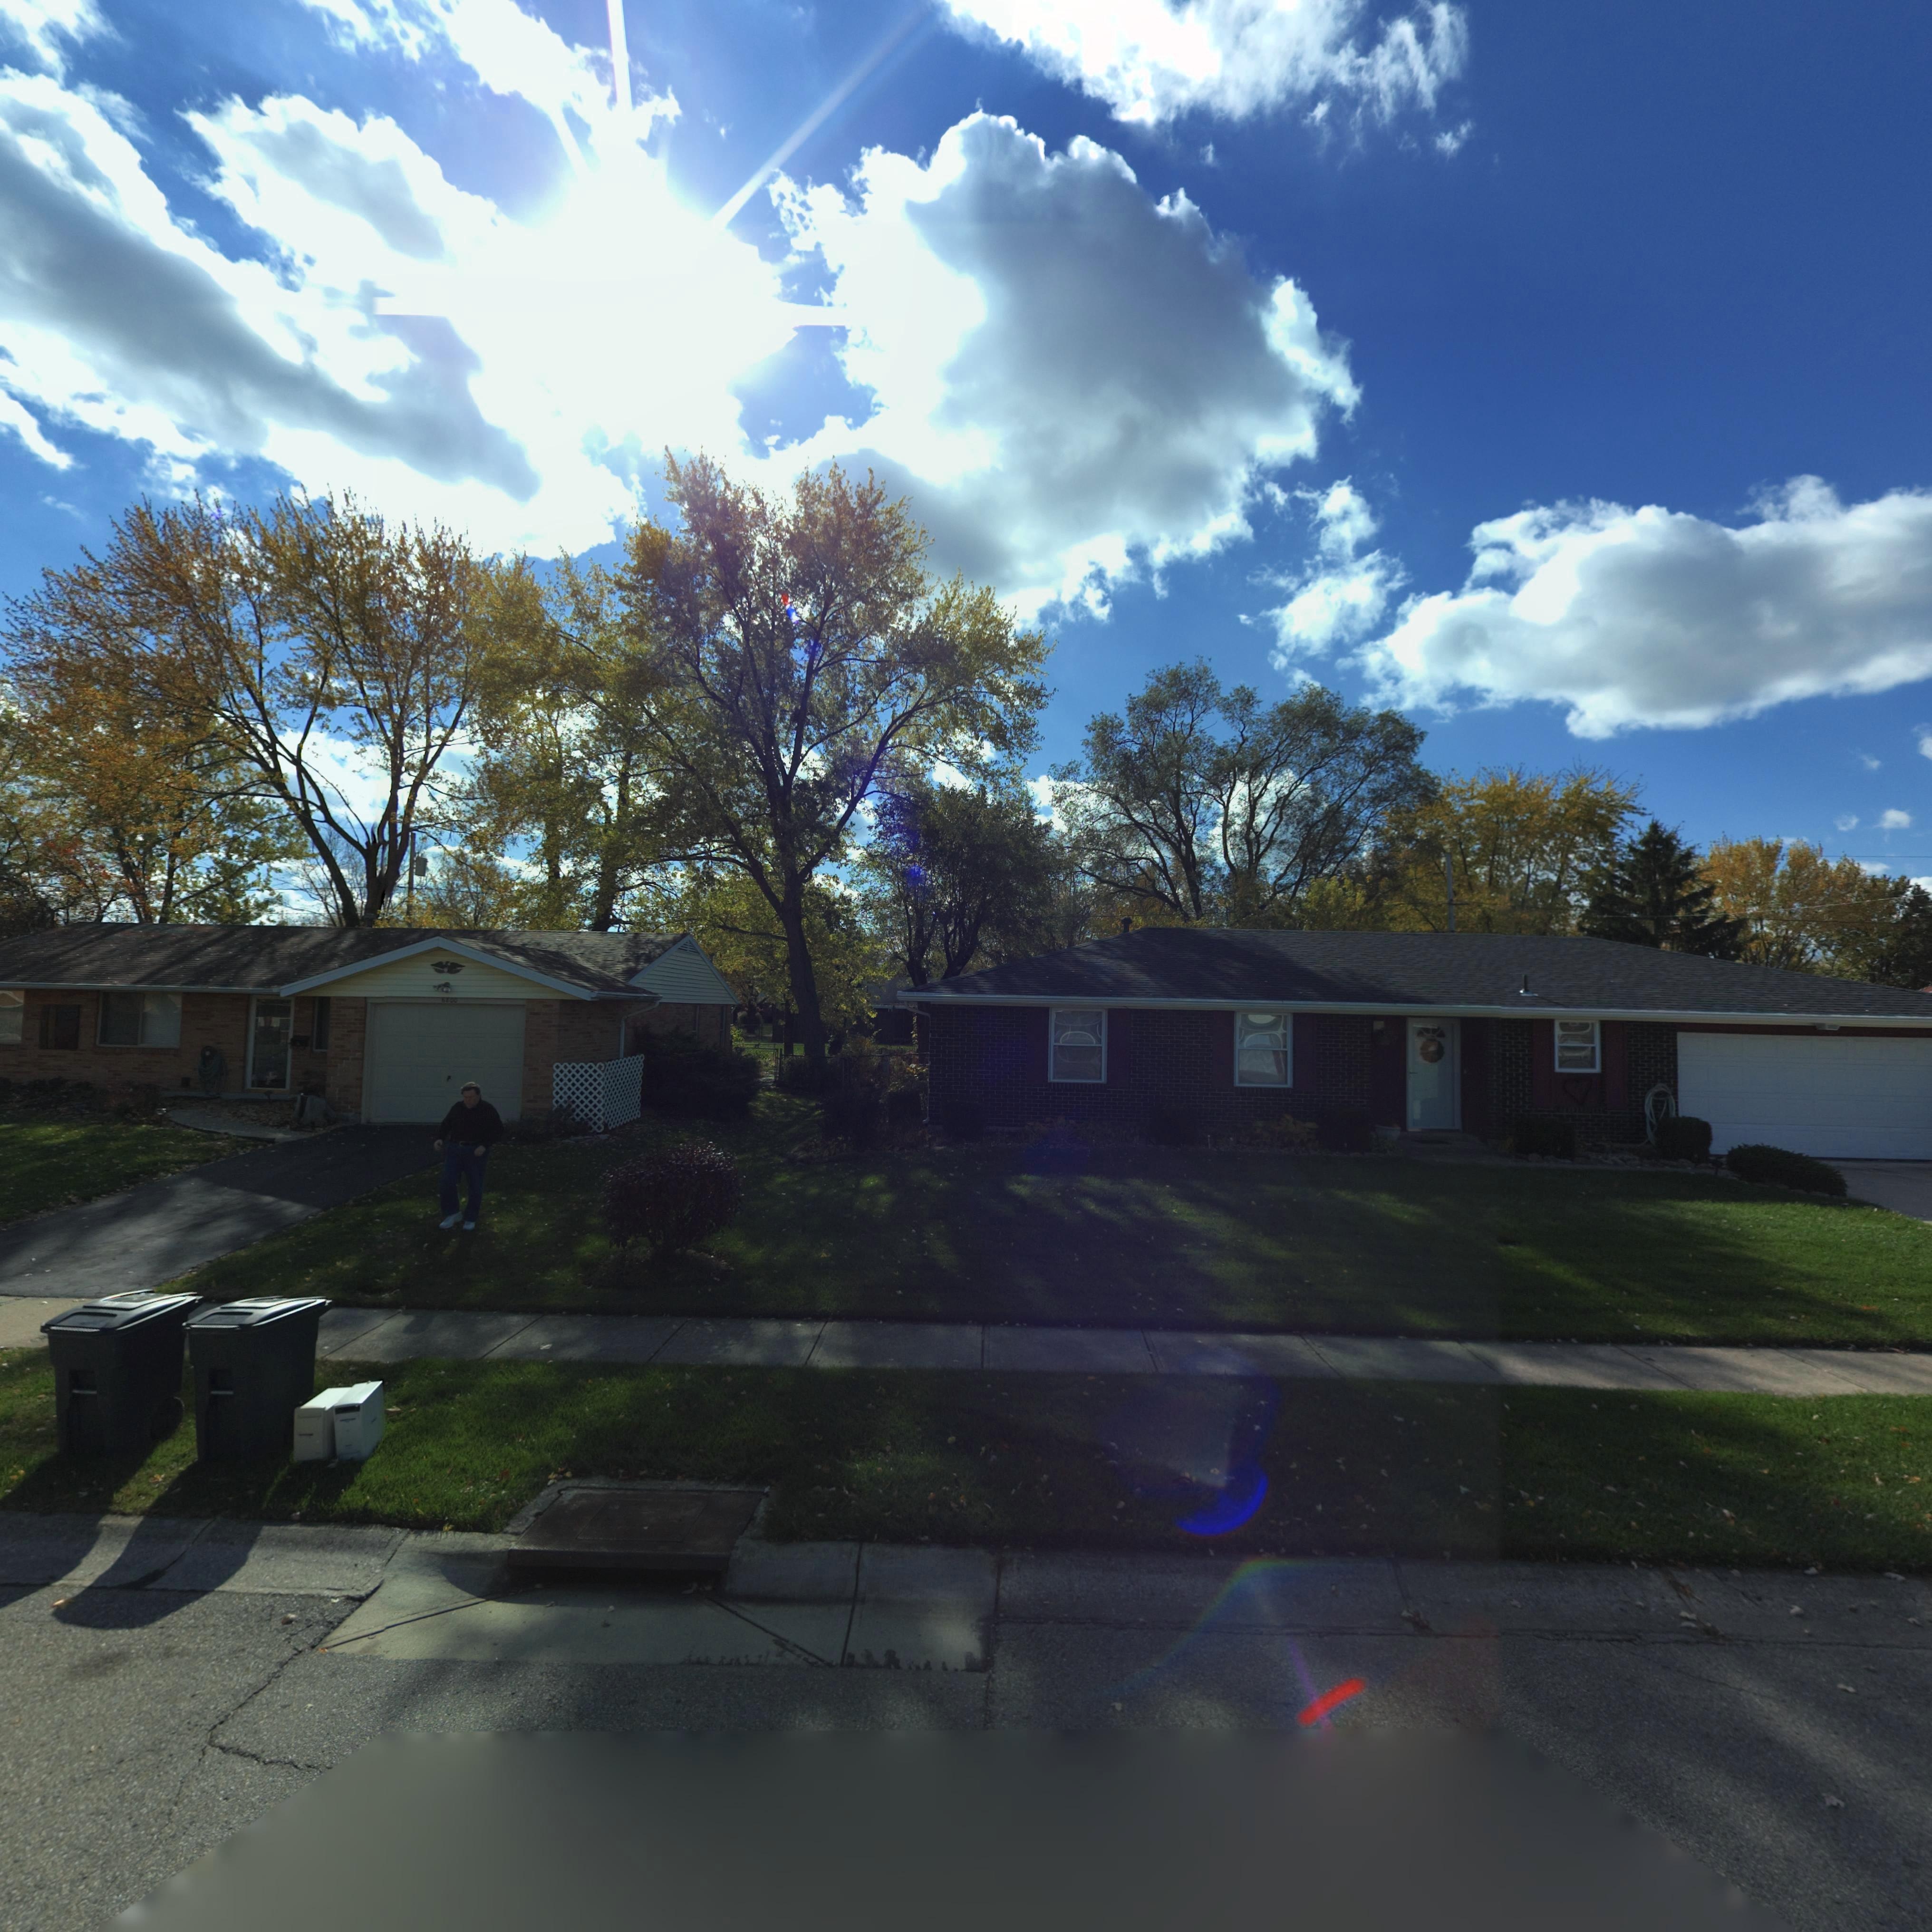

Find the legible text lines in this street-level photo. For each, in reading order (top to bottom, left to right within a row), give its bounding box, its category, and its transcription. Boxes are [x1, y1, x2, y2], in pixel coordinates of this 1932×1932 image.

[441, 997, 458, 1004] StreetNumber: 6800